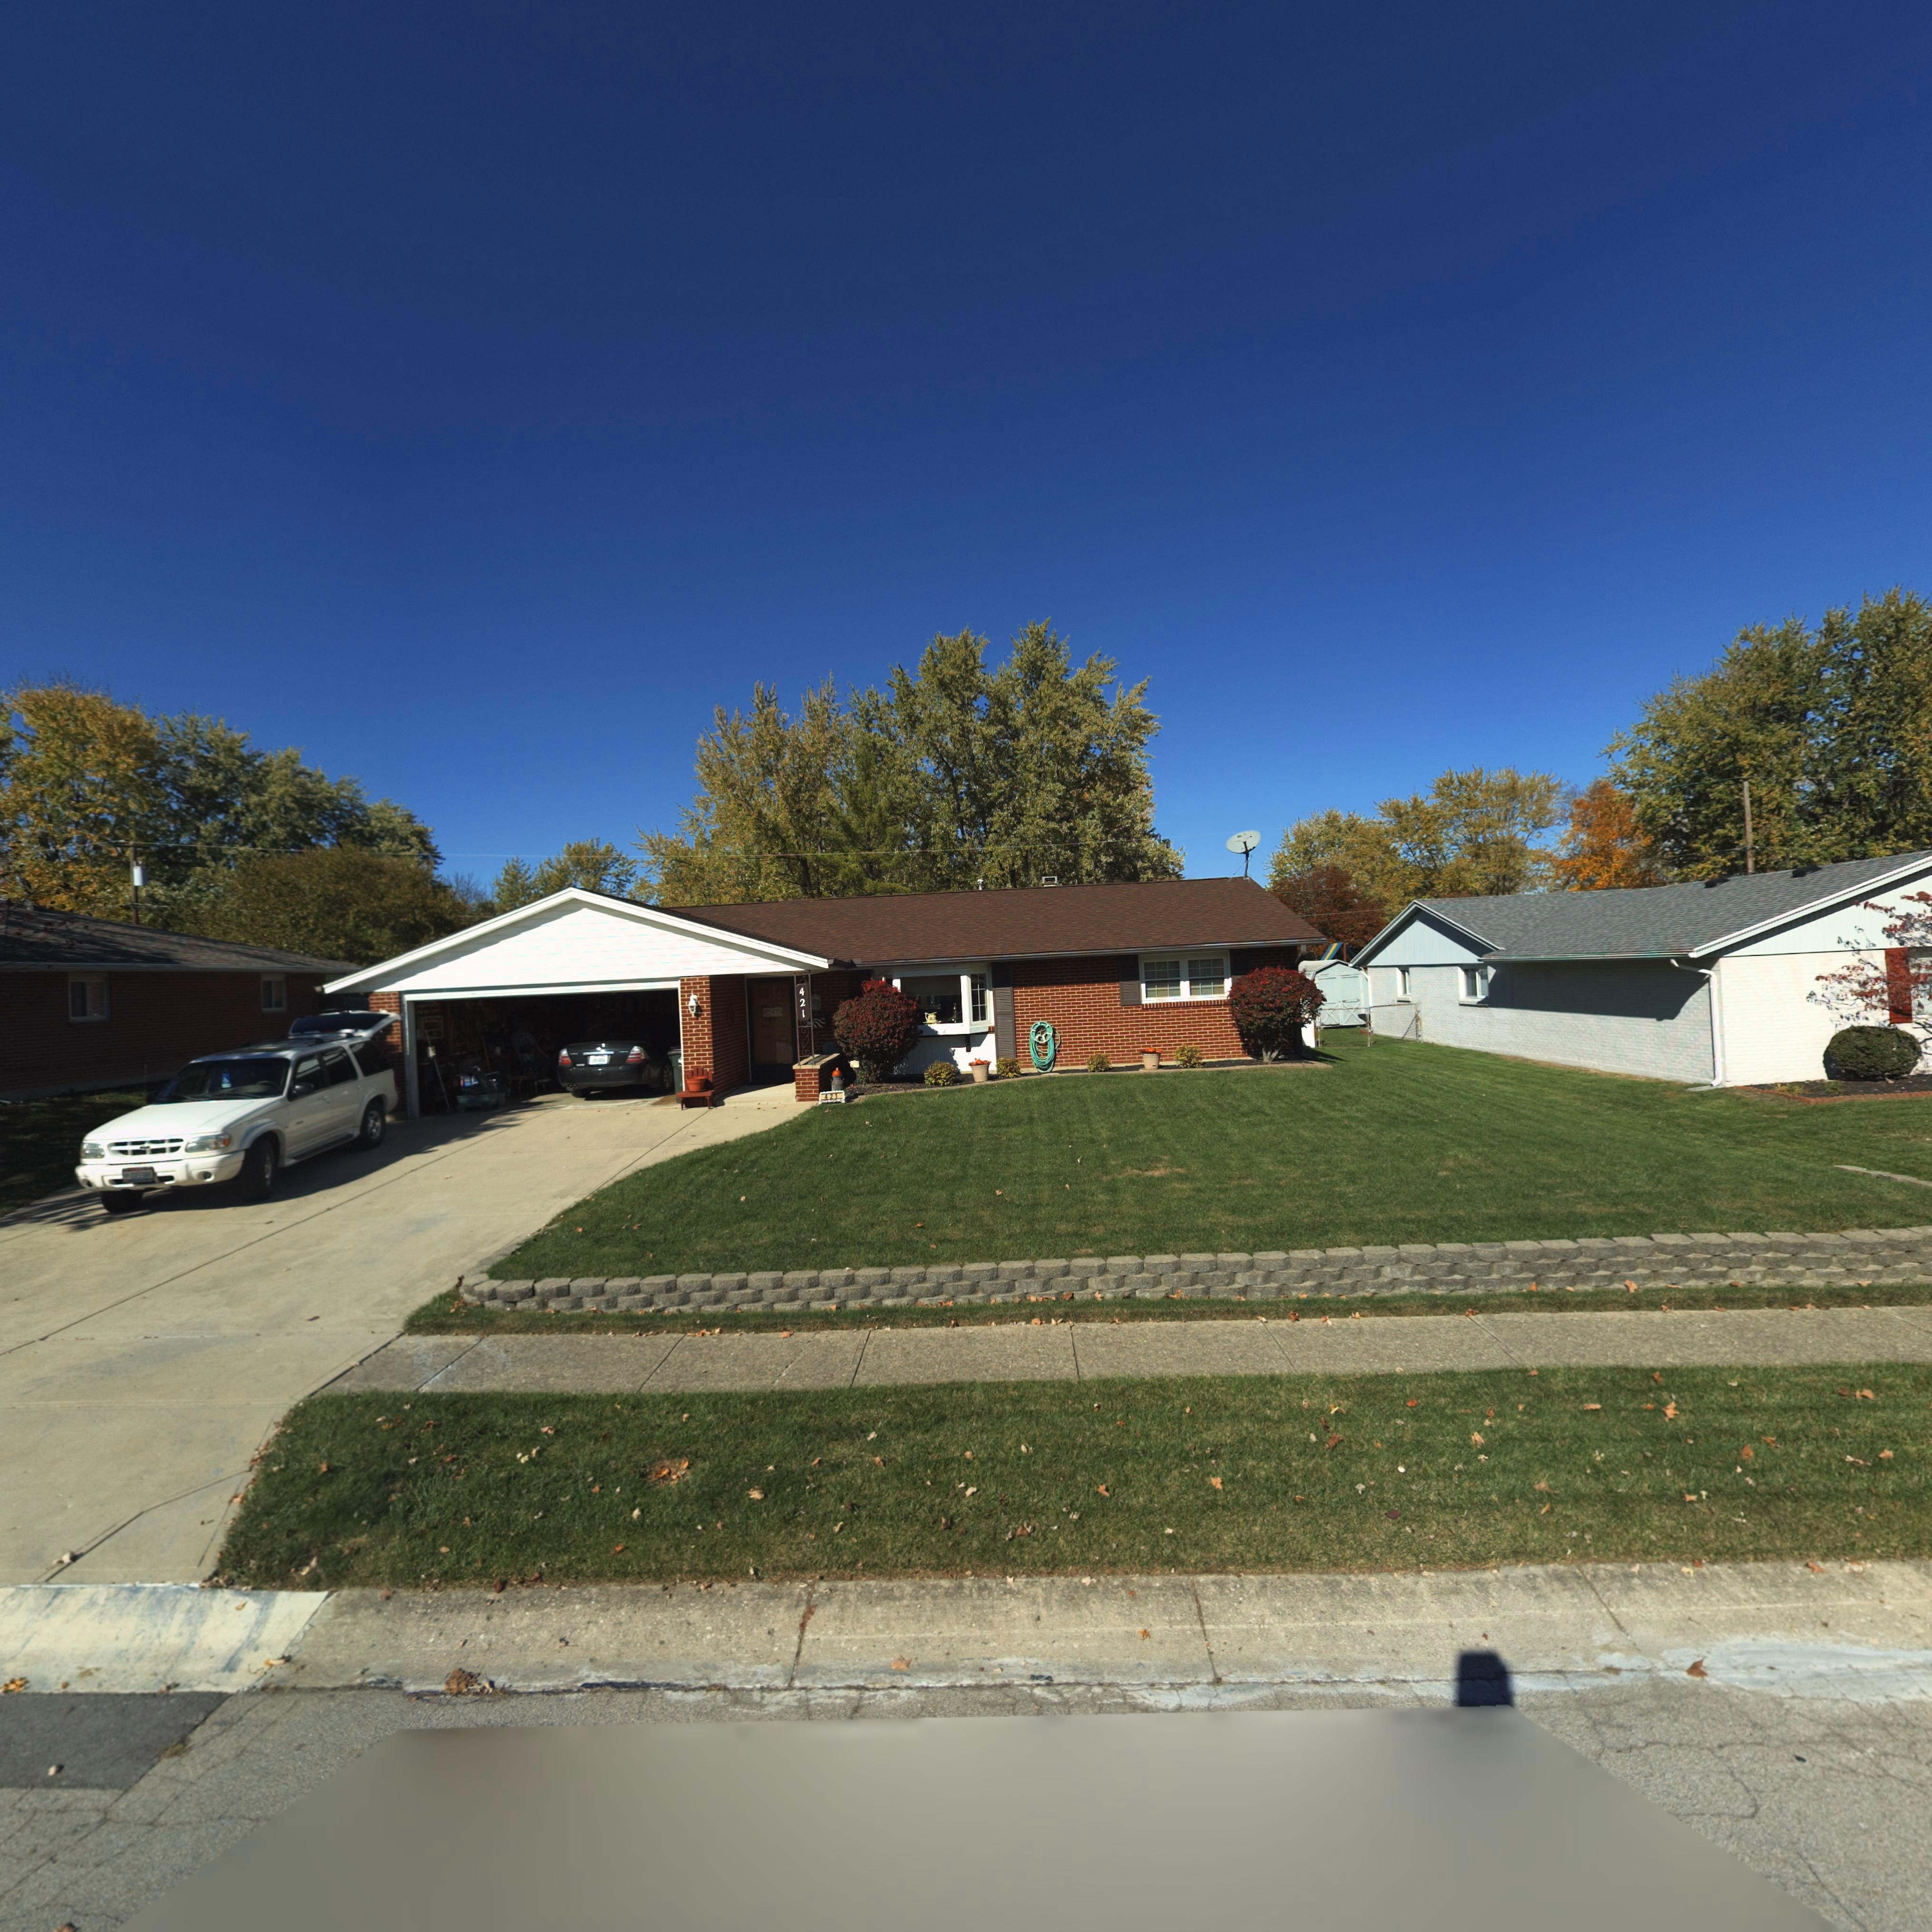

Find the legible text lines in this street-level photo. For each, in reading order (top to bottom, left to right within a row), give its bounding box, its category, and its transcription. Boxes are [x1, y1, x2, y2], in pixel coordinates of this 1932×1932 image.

[798, 985, 807, 1019] StreetNumber: 421
[823, 1092, 838, 1101] StreetNumber: 421